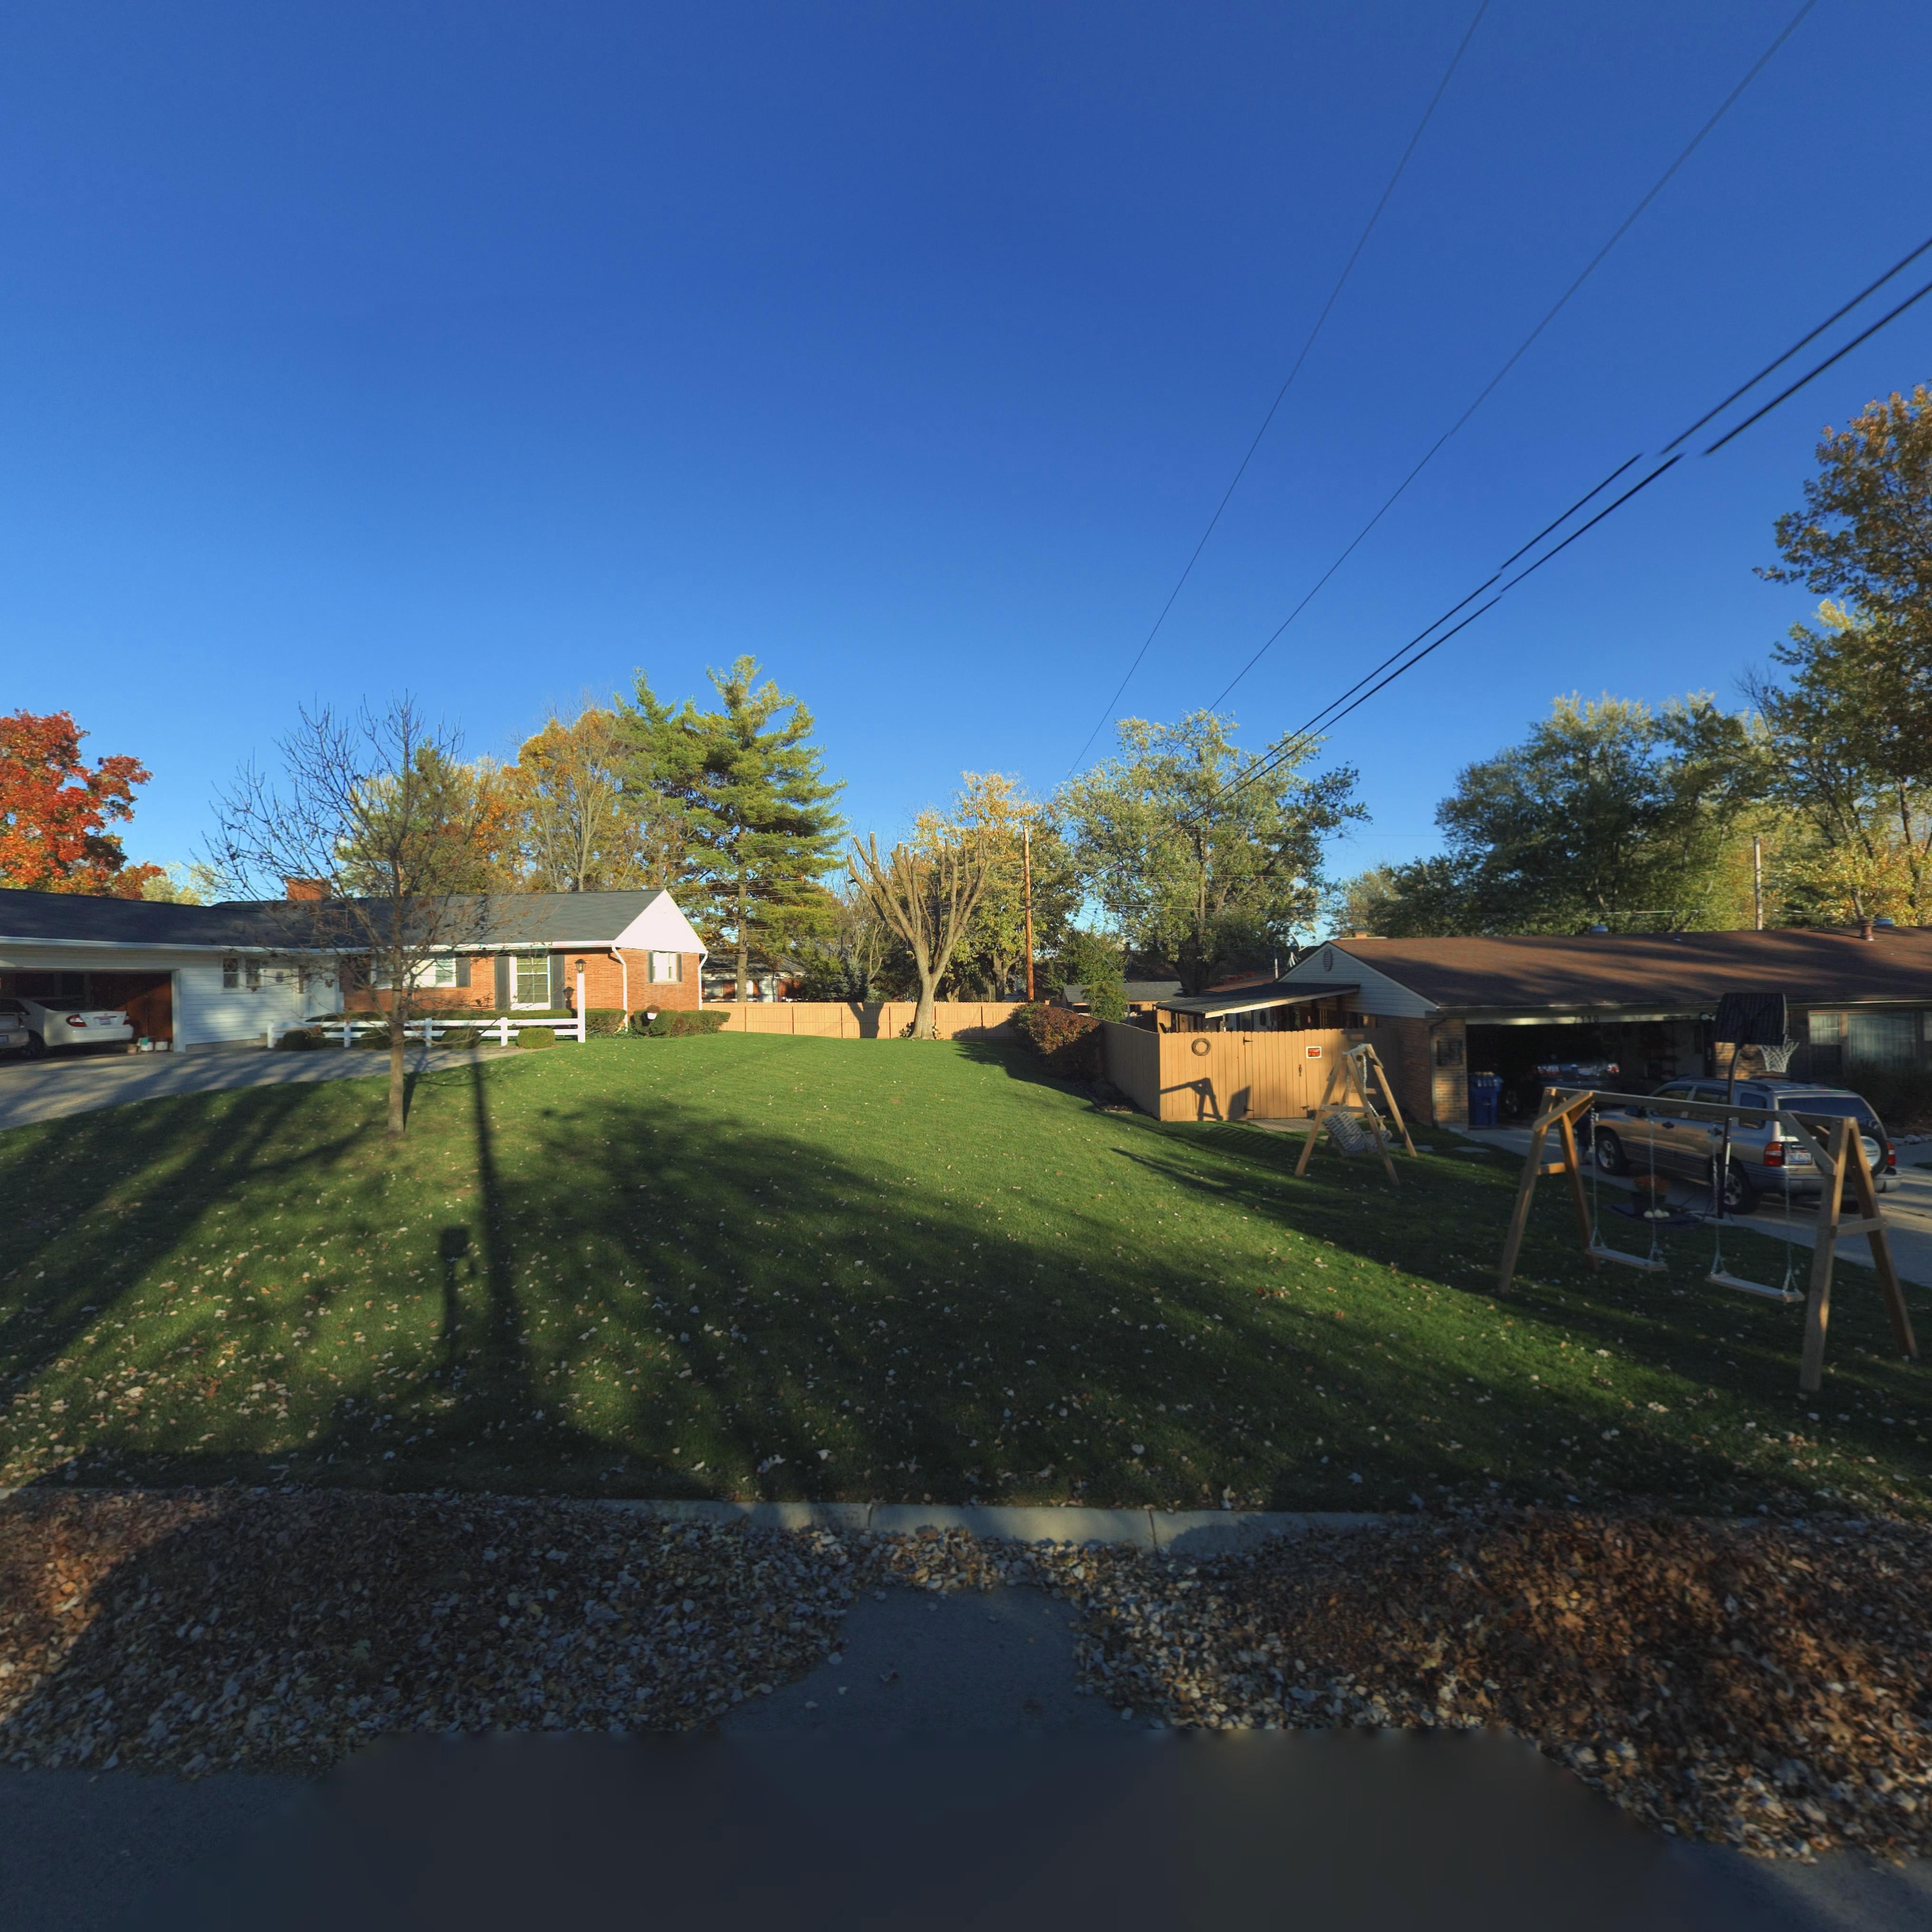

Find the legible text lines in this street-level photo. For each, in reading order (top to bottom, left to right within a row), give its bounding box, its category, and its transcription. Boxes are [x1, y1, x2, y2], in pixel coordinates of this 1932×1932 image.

[1572, 1013, 1600, 1024] StreetNumber: 7**0